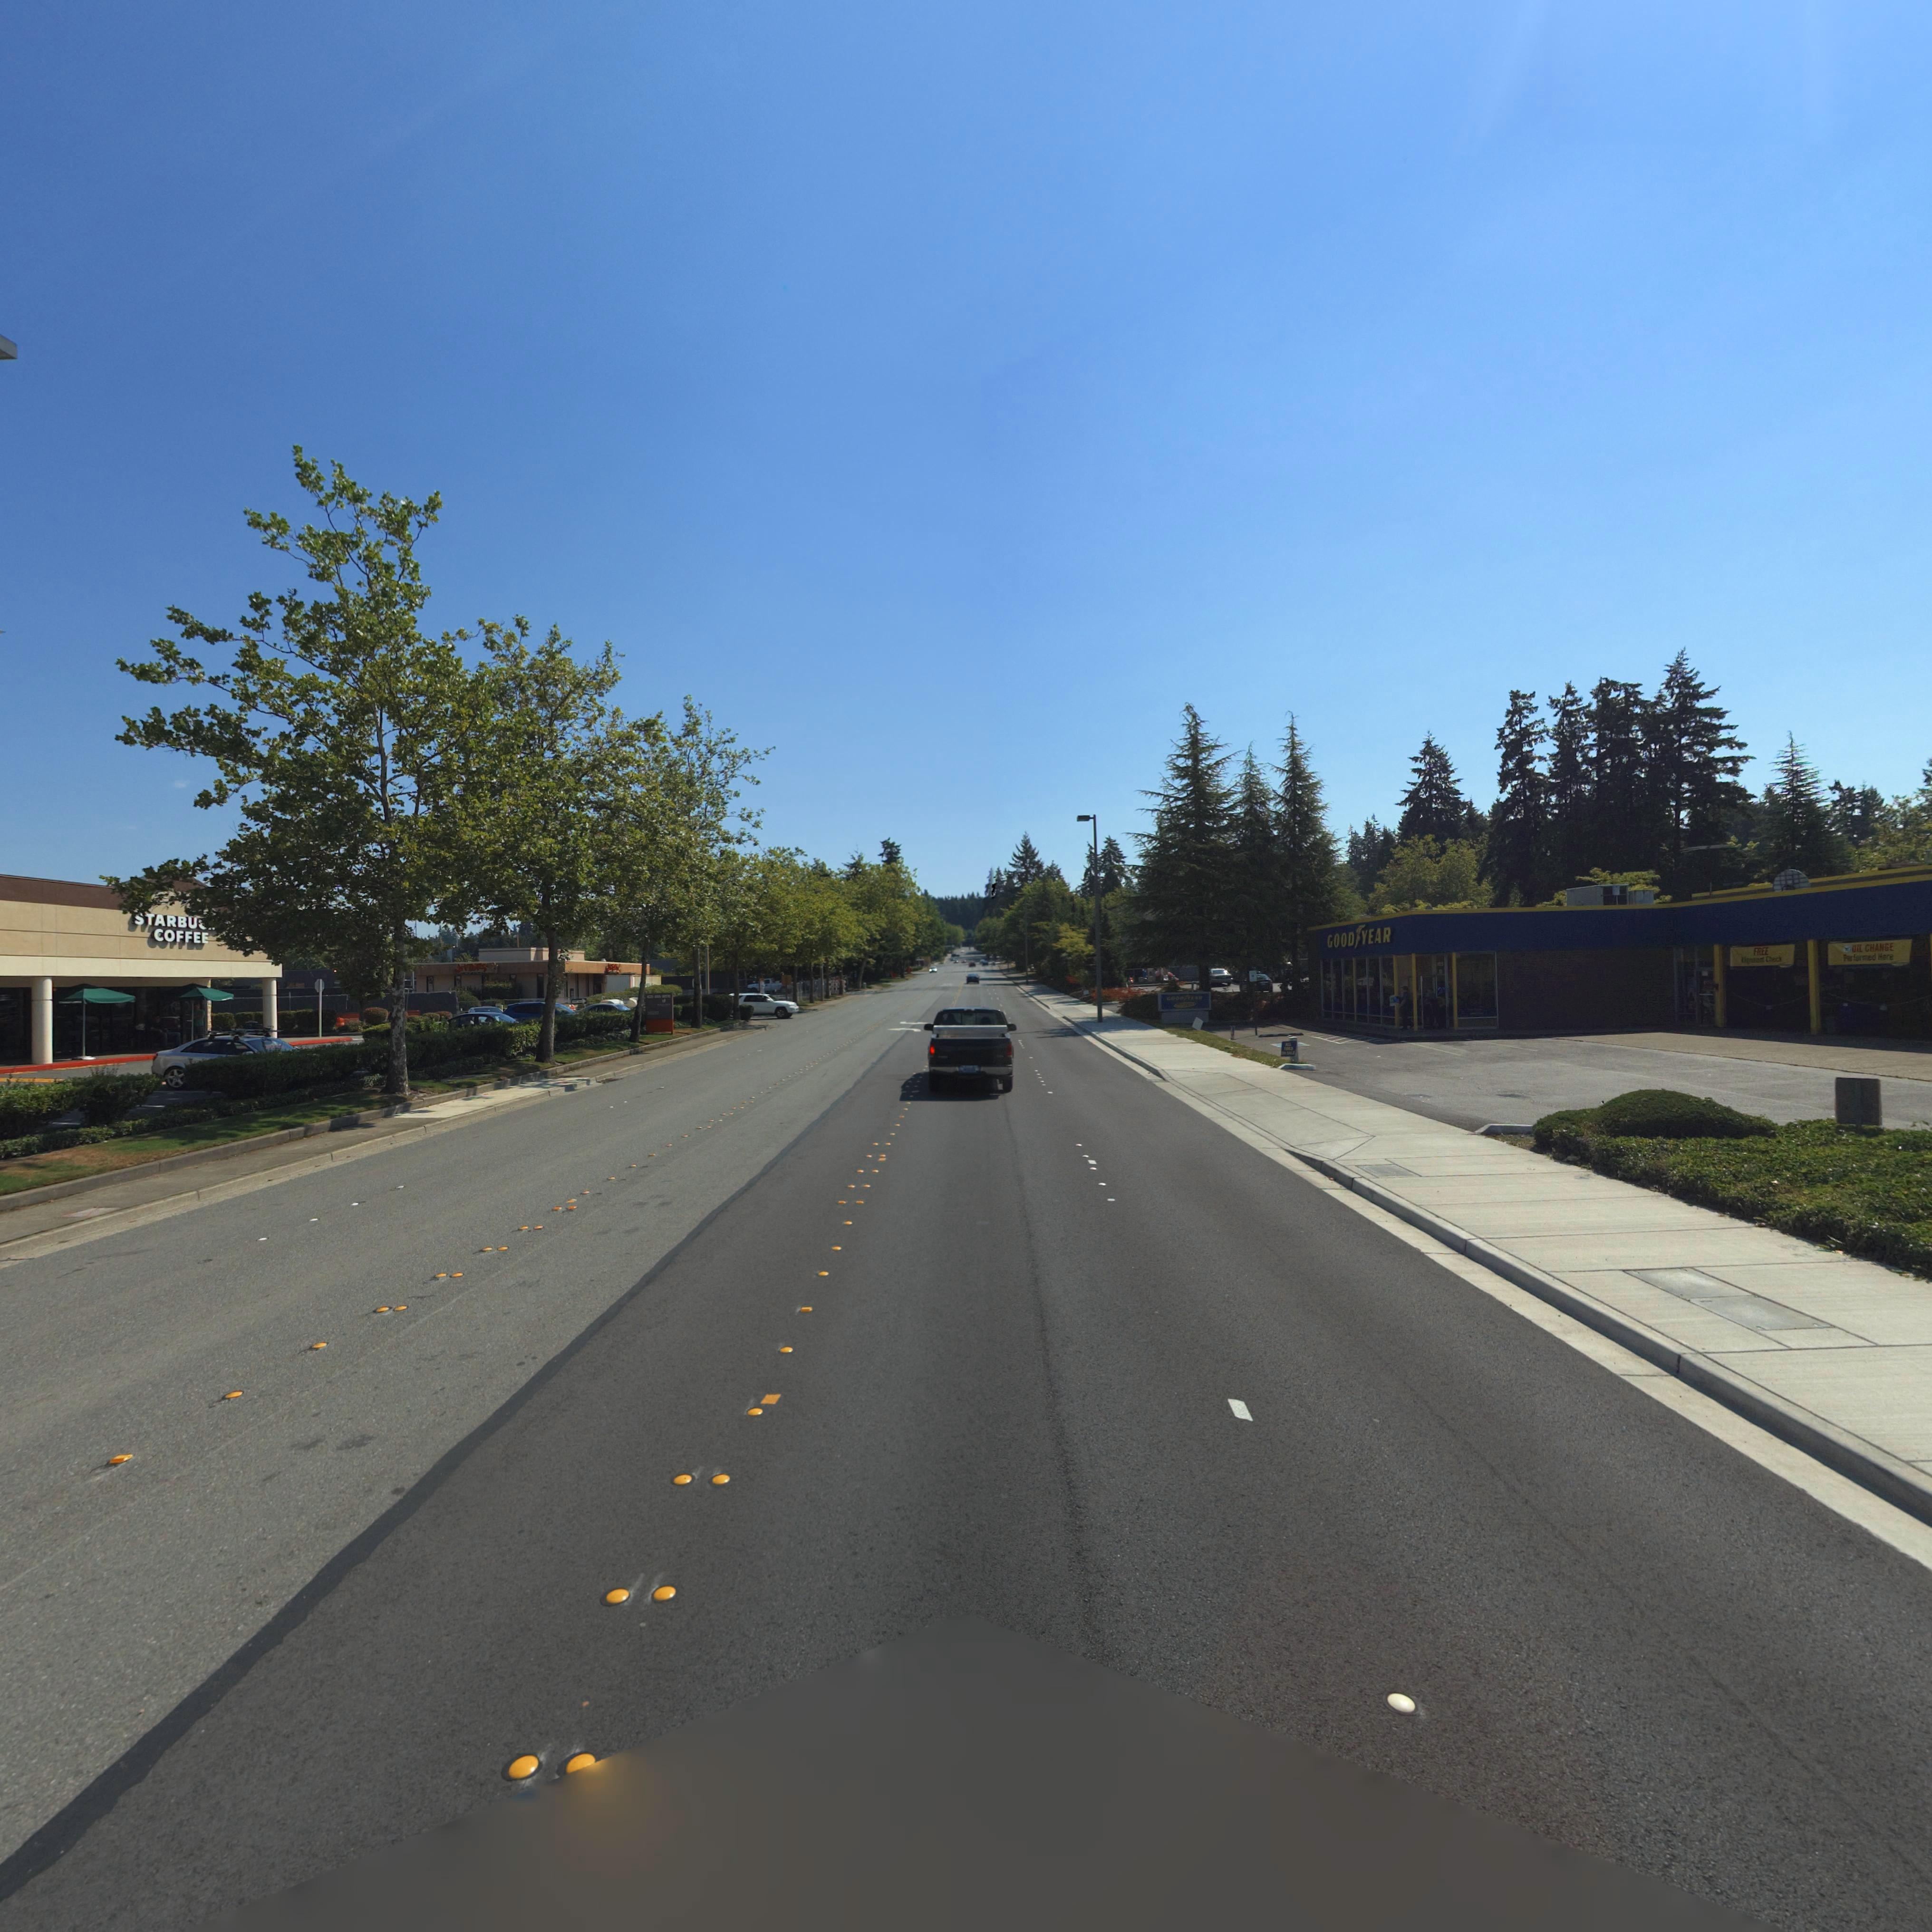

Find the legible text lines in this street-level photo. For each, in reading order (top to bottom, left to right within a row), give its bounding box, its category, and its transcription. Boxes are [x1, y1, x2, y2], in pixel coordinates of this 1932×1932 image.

[153, 913, 187, 928] BusinessName: ARB
[153, 927, 209, 944] BusinessName: COFFEE
[1326, 926, 1393, 948] BusinessName: GOOD*YEAR